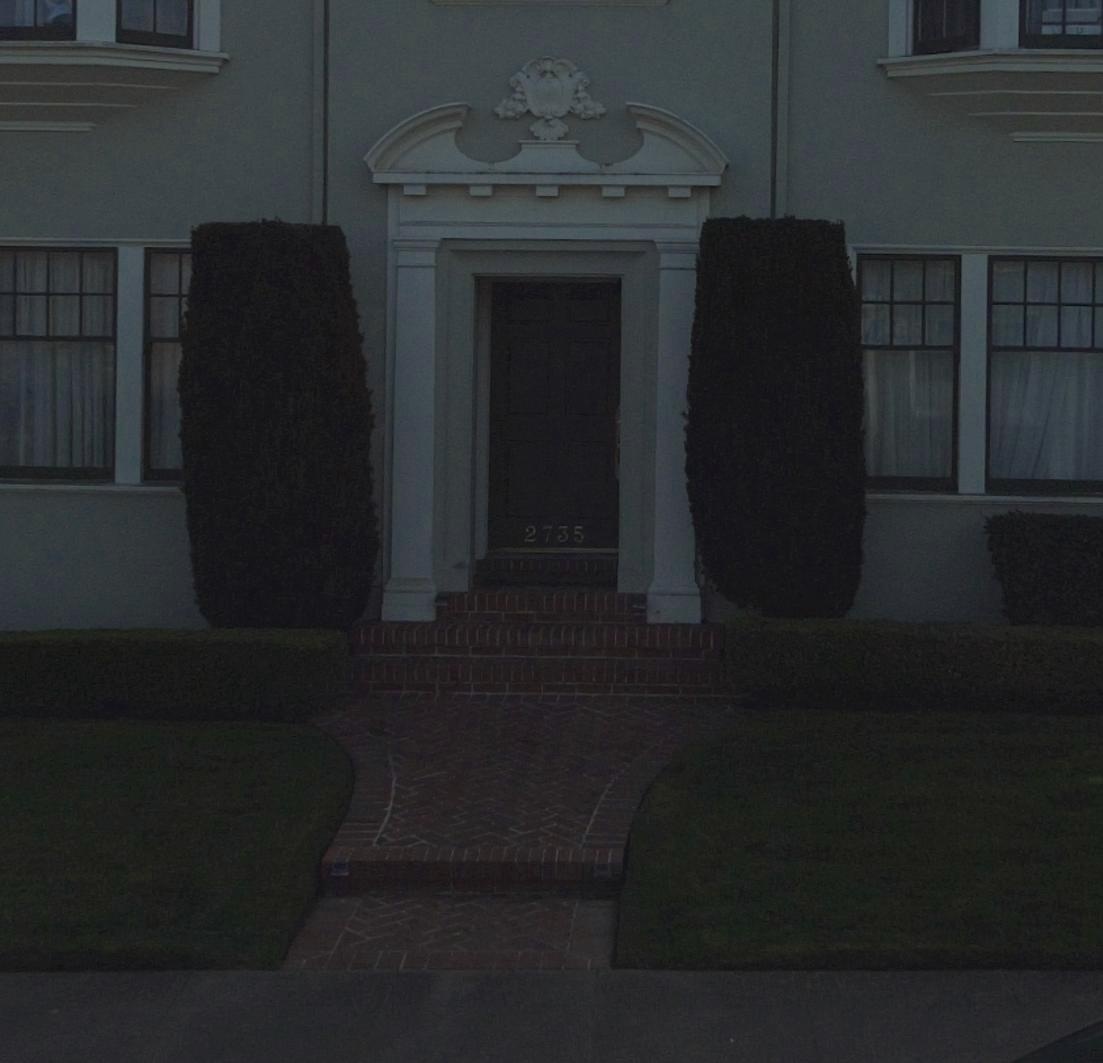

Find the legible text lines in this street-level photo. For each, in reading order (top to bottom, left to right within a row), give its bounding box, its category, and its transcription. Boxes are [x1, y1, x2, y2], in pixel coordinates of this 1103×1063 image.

[522, 523, 586, 544] StreetNumber: 2735